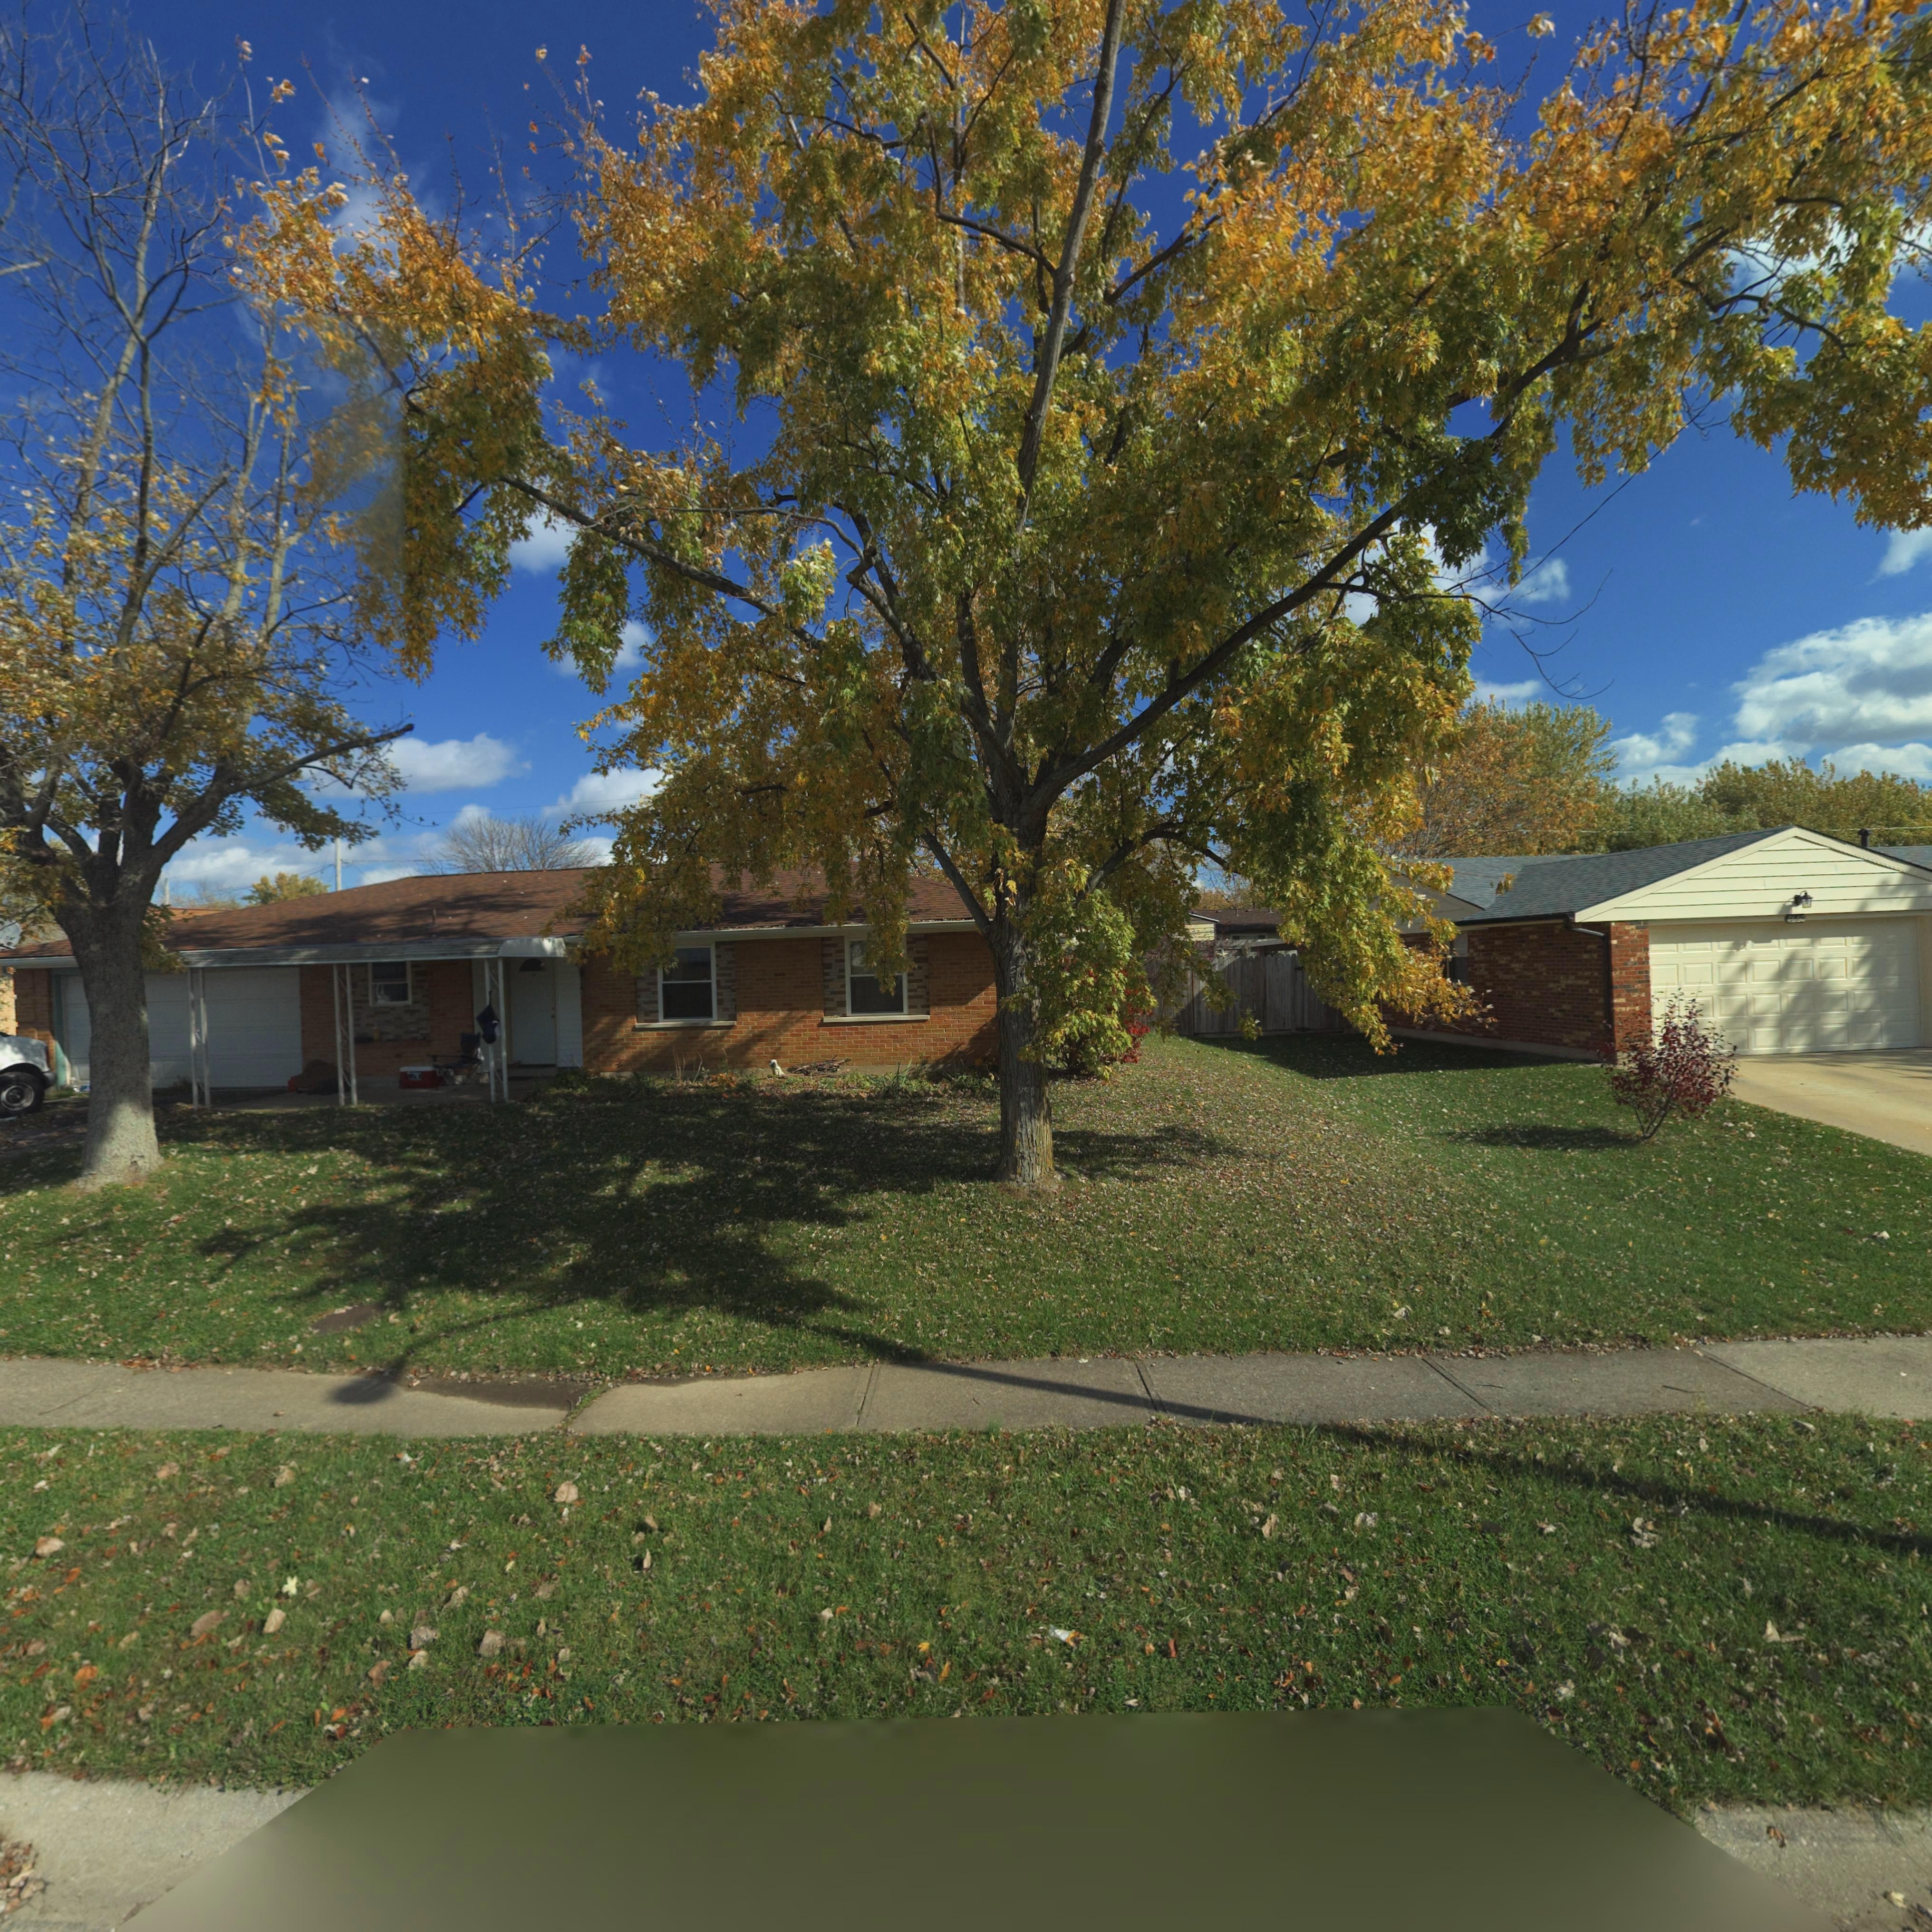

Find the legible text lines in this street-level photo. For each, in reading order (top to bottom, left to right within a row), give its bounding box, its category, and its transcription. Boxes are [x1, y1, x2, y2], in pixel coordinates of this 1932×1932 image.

[1786, 913, 1807, 924] StreetNumber: *660